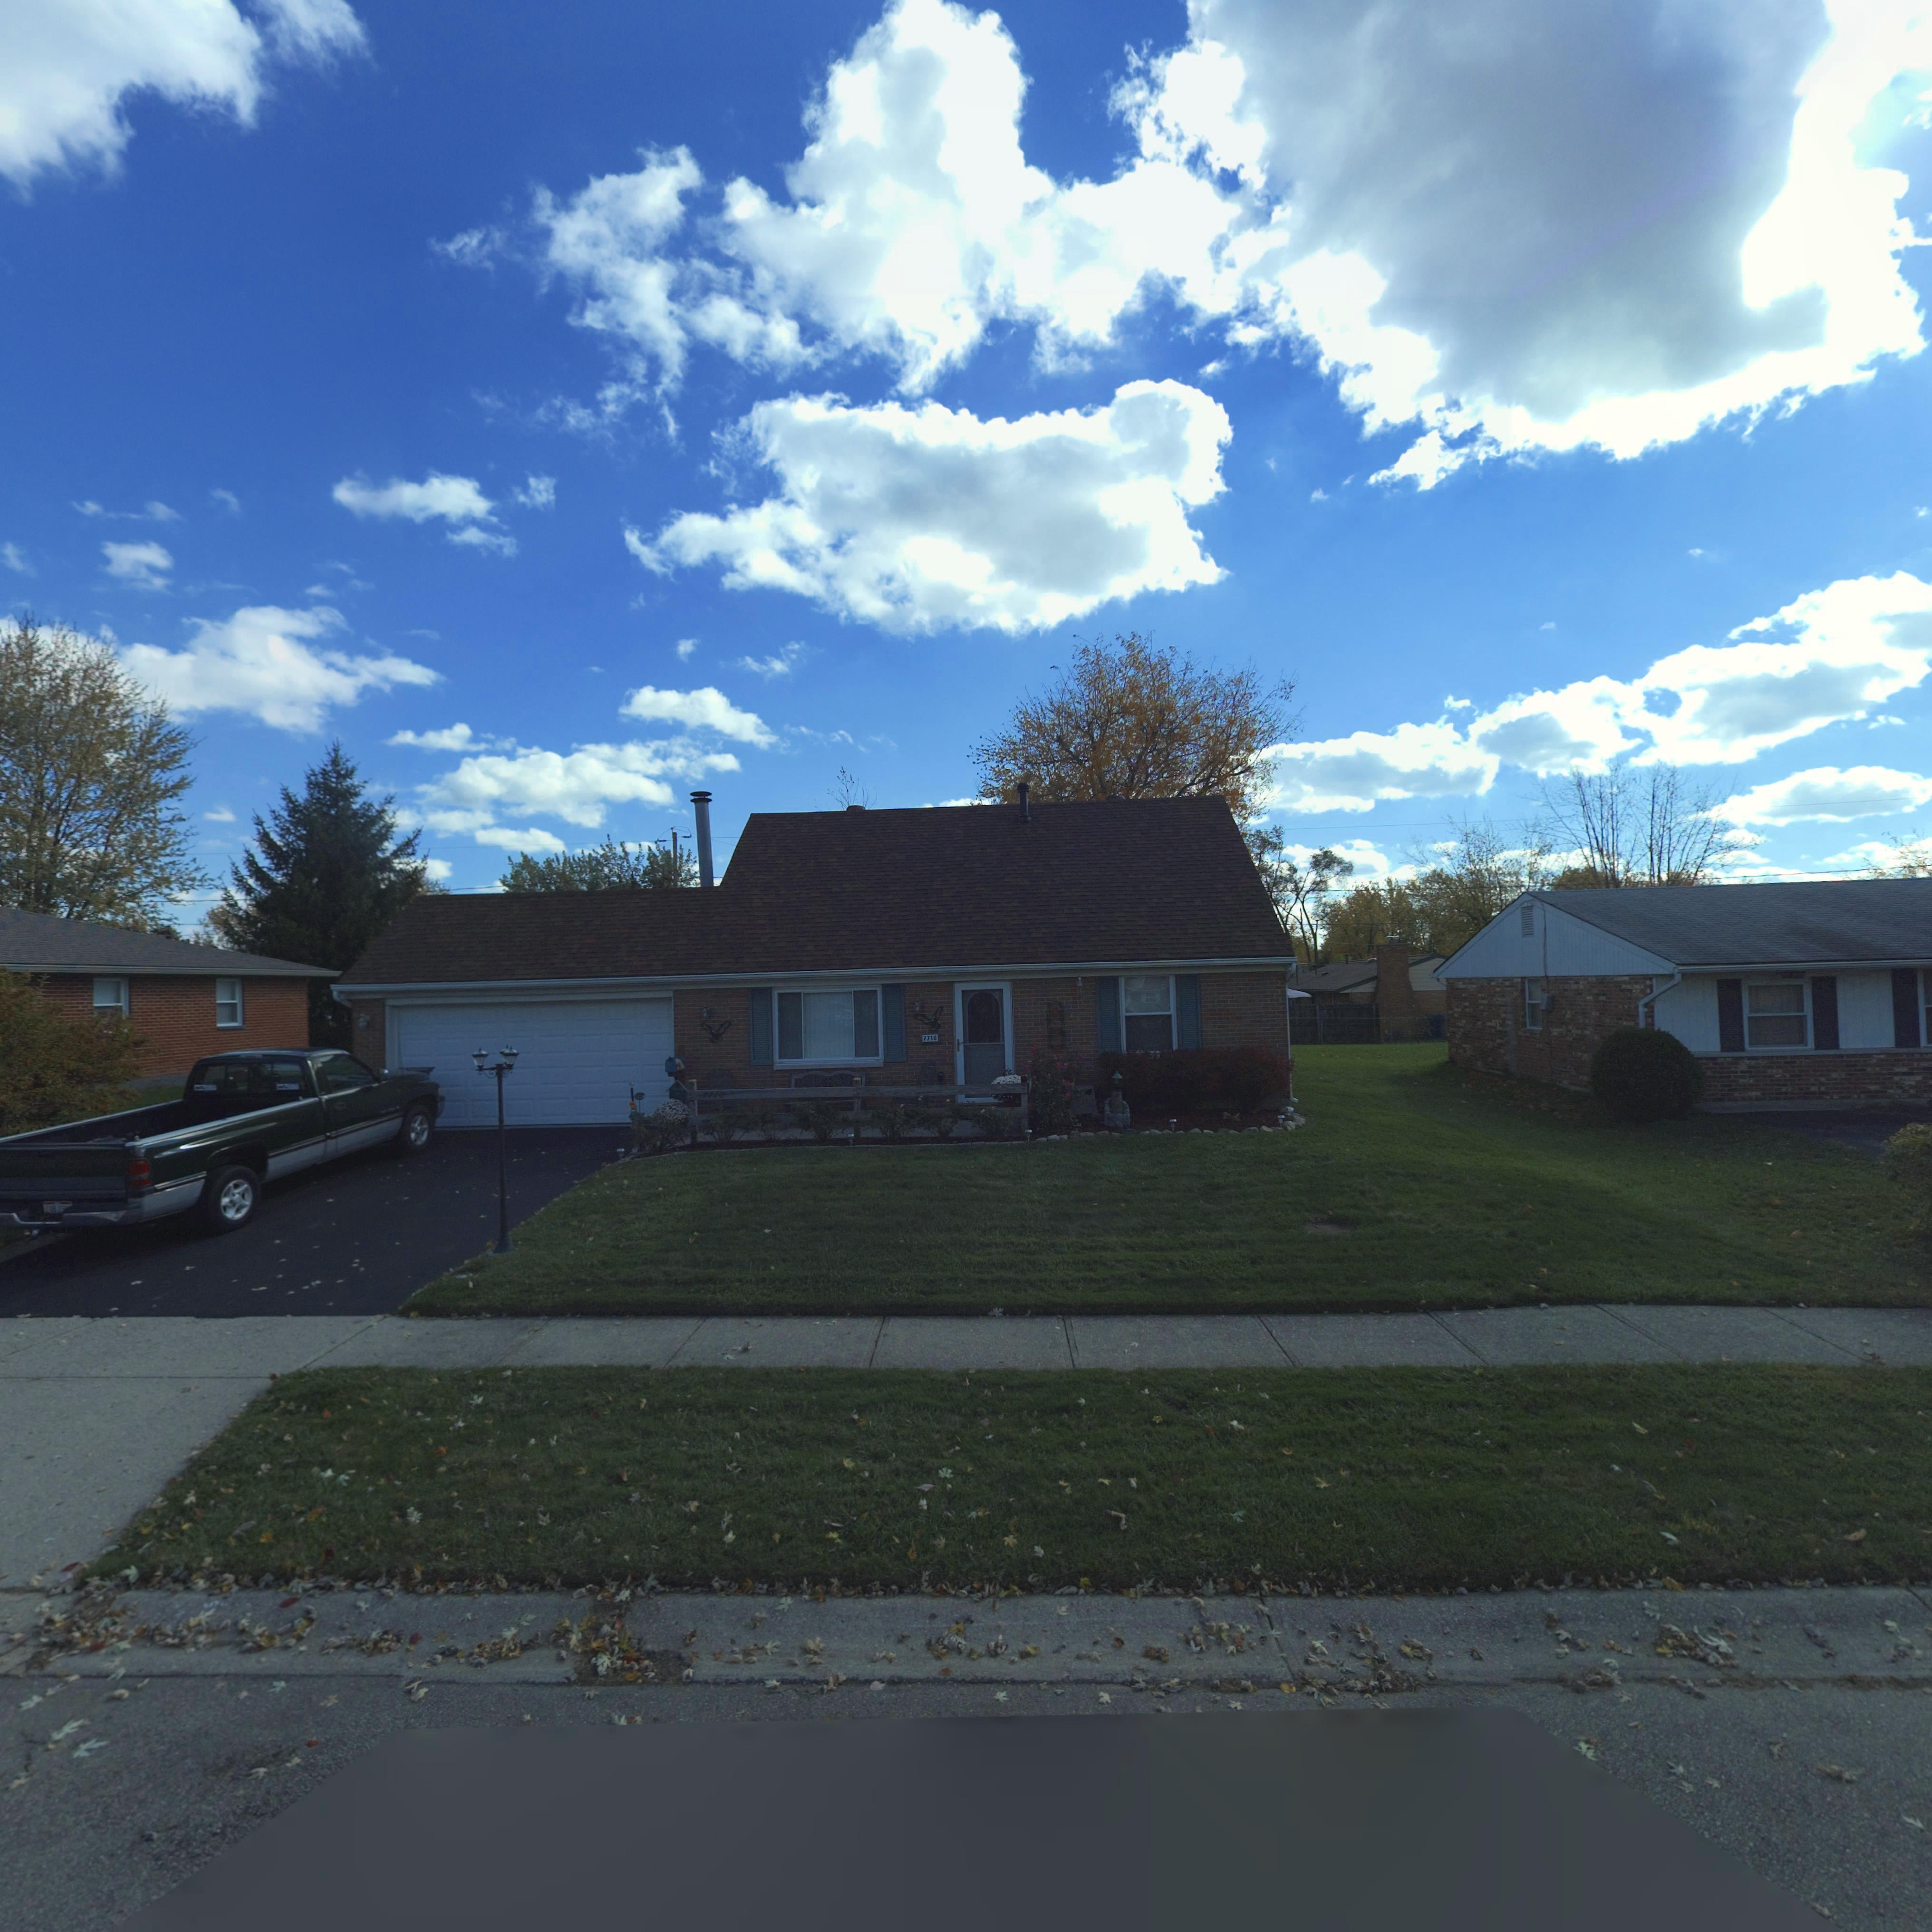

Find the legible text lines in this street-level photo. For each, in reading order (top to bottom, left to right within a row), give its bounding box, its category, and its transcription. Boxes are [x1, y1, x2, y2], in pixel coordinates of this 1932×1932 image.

[923, 1034, 937, 1041] StreetNumber: 7710